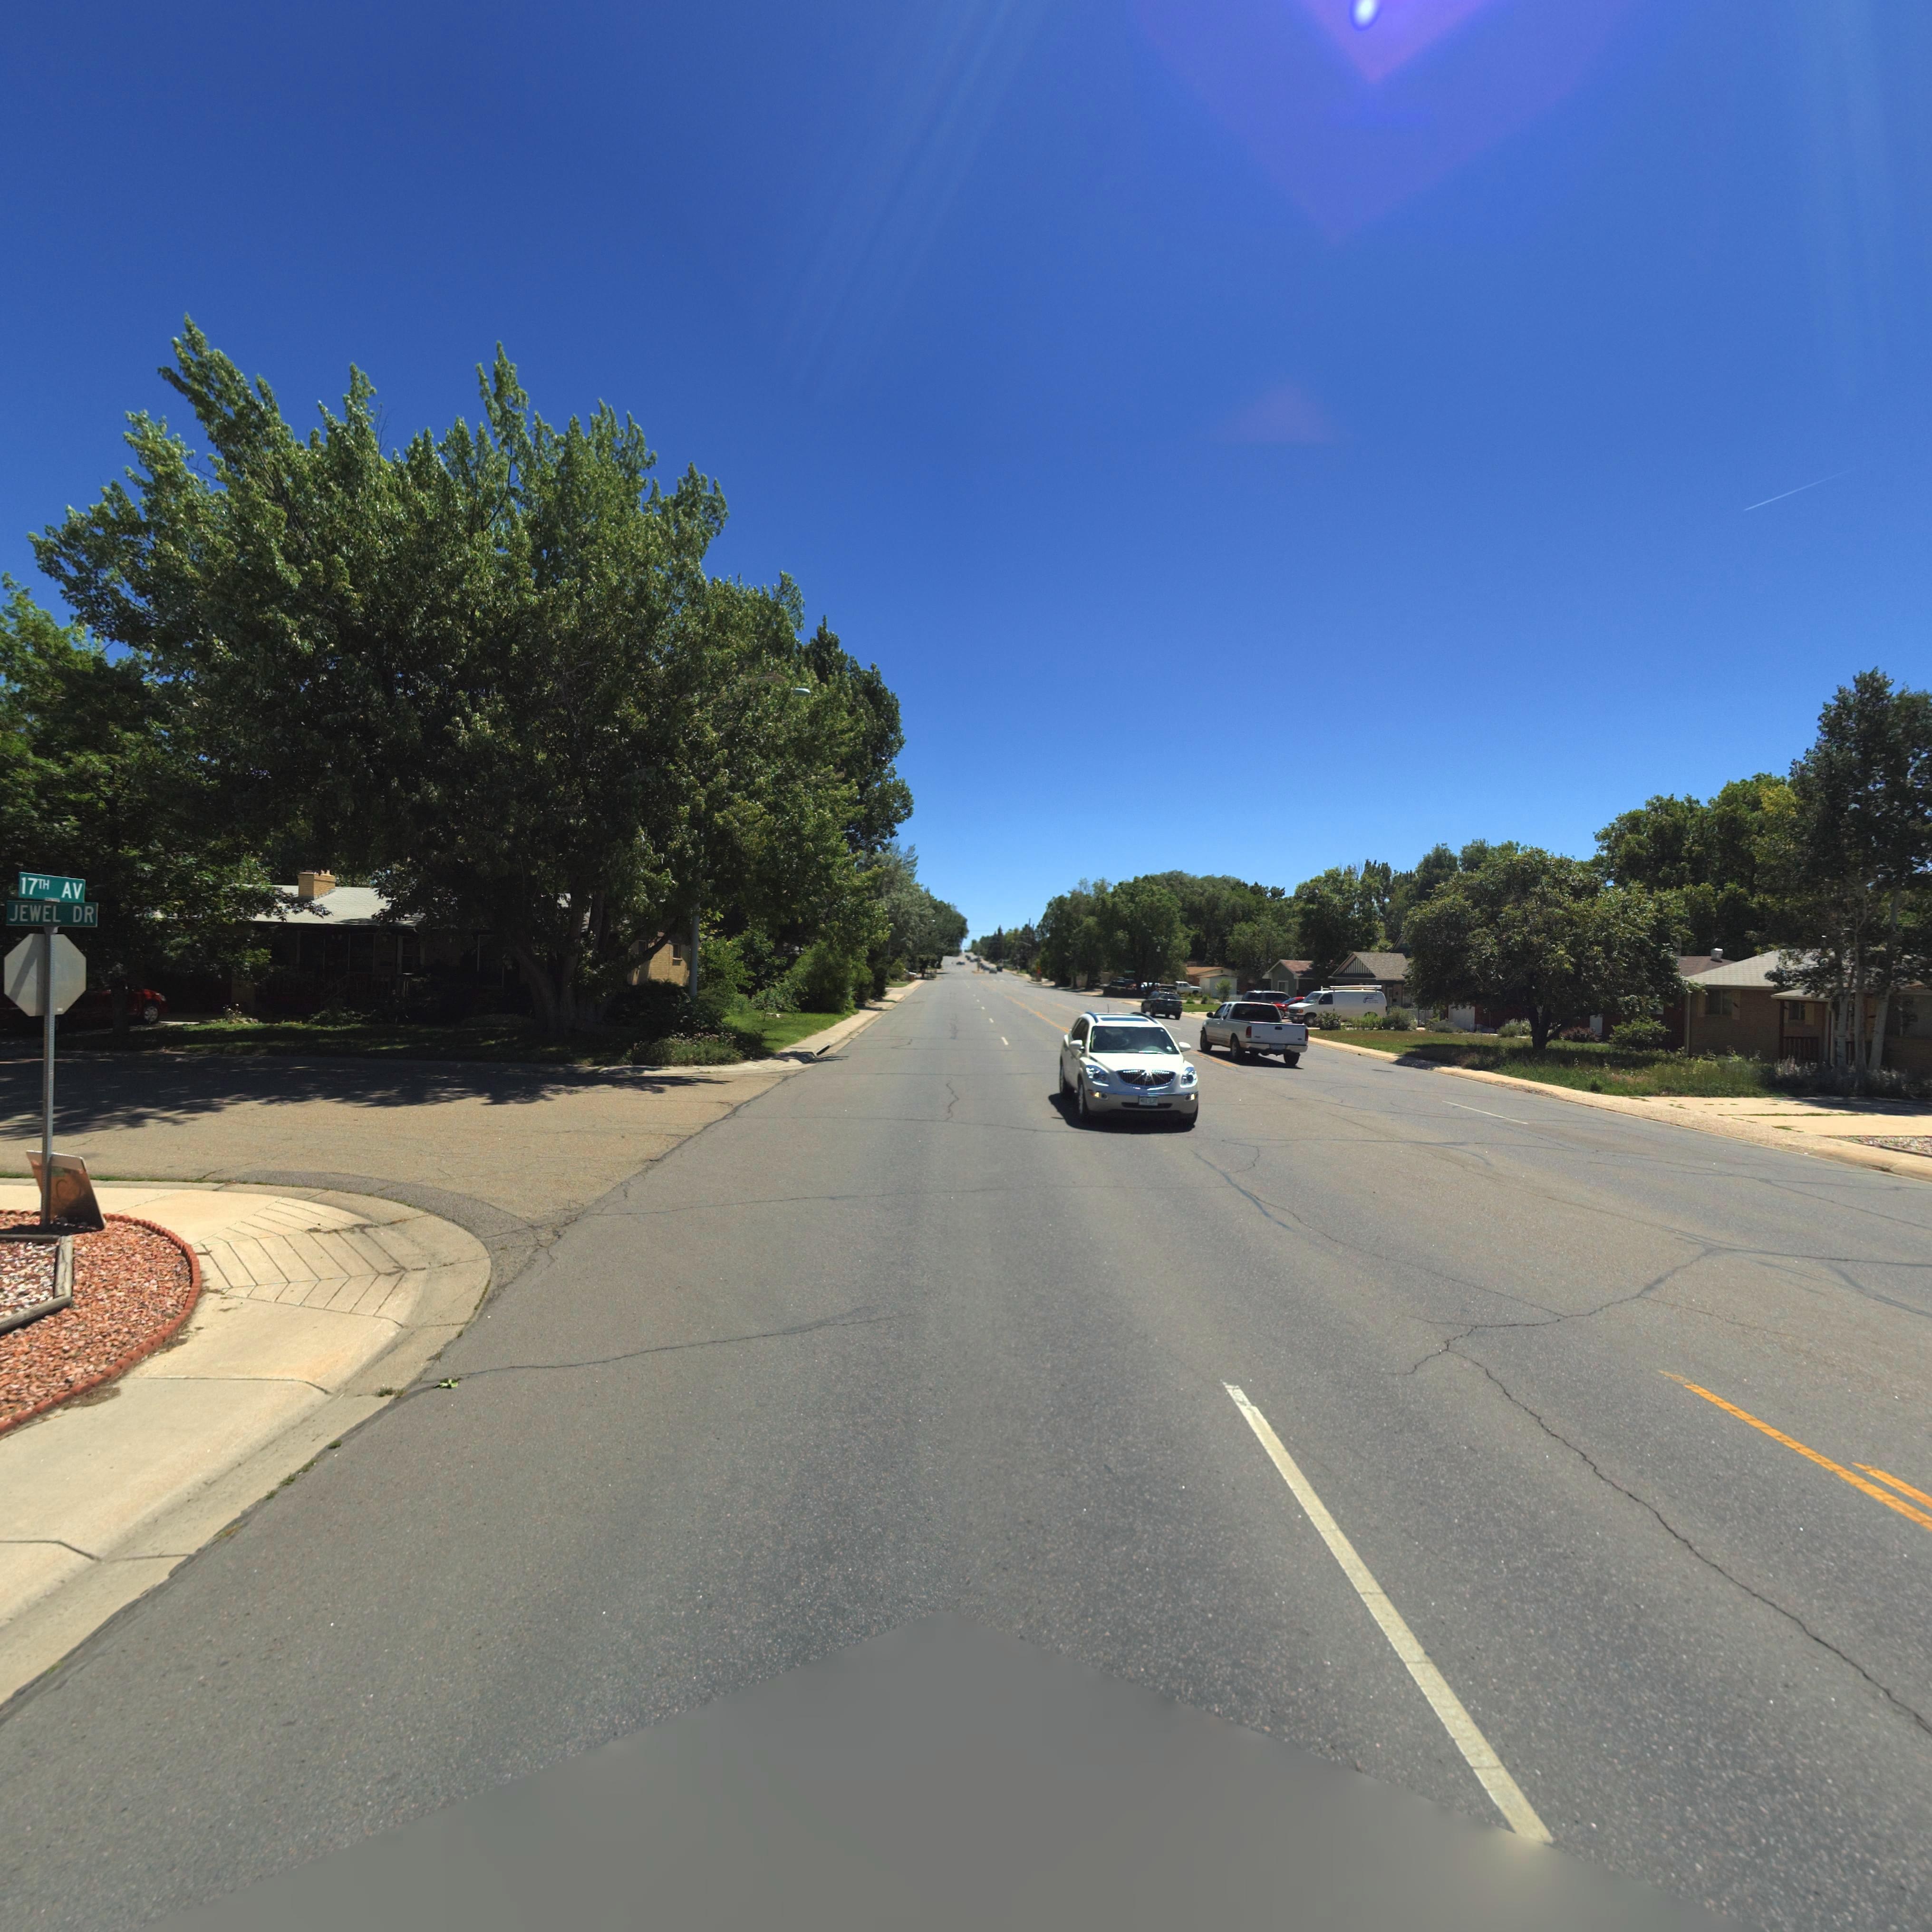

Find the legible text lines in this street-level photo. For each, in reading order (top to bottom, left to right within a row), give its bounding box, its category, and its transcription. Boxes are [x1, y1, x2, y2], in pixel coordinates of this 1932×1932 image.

[20, 876, 83, 900] StreetName: 17TH AV
[8, 904, 94, 923] StreetName: JEWEL DR